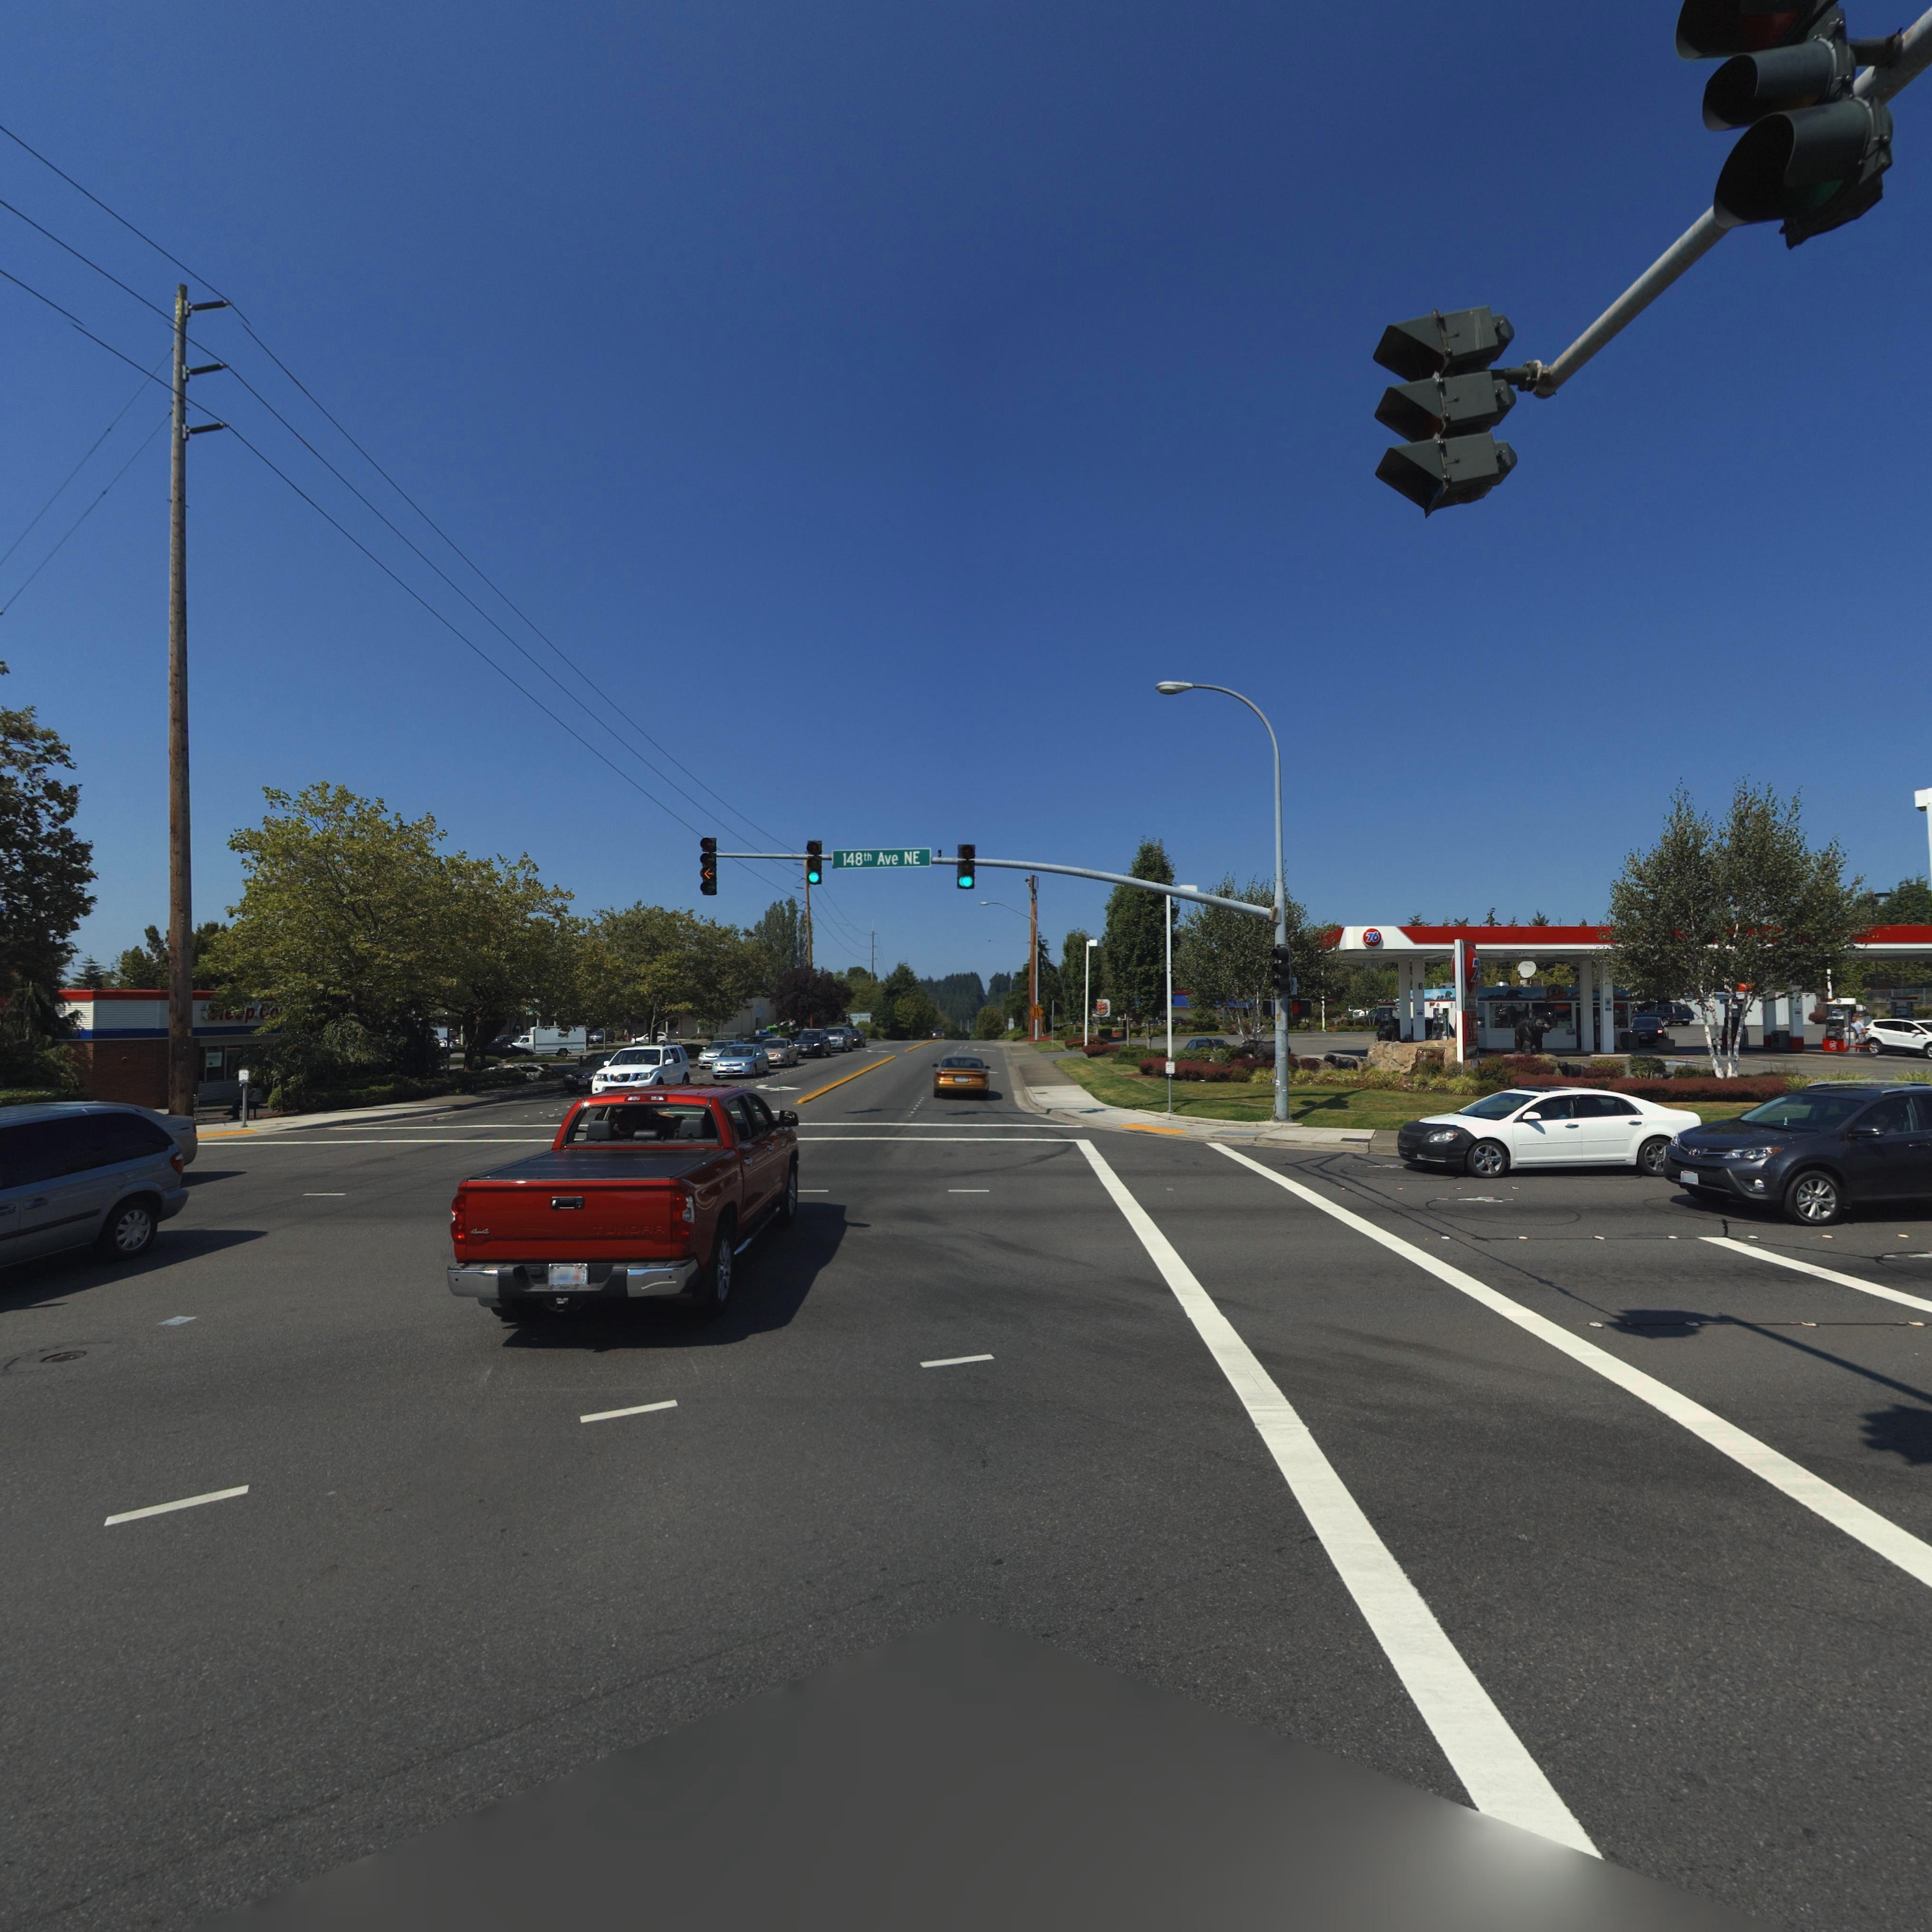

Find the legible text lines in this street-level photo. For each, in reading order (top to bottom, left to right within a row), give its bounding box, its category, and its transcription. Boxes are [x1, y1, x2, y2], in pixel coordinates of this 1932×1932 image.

[843, 851, 920, 865] StreetName: 148th Ave NE
[1365, 931, 1380, 942] BusinessName: 76